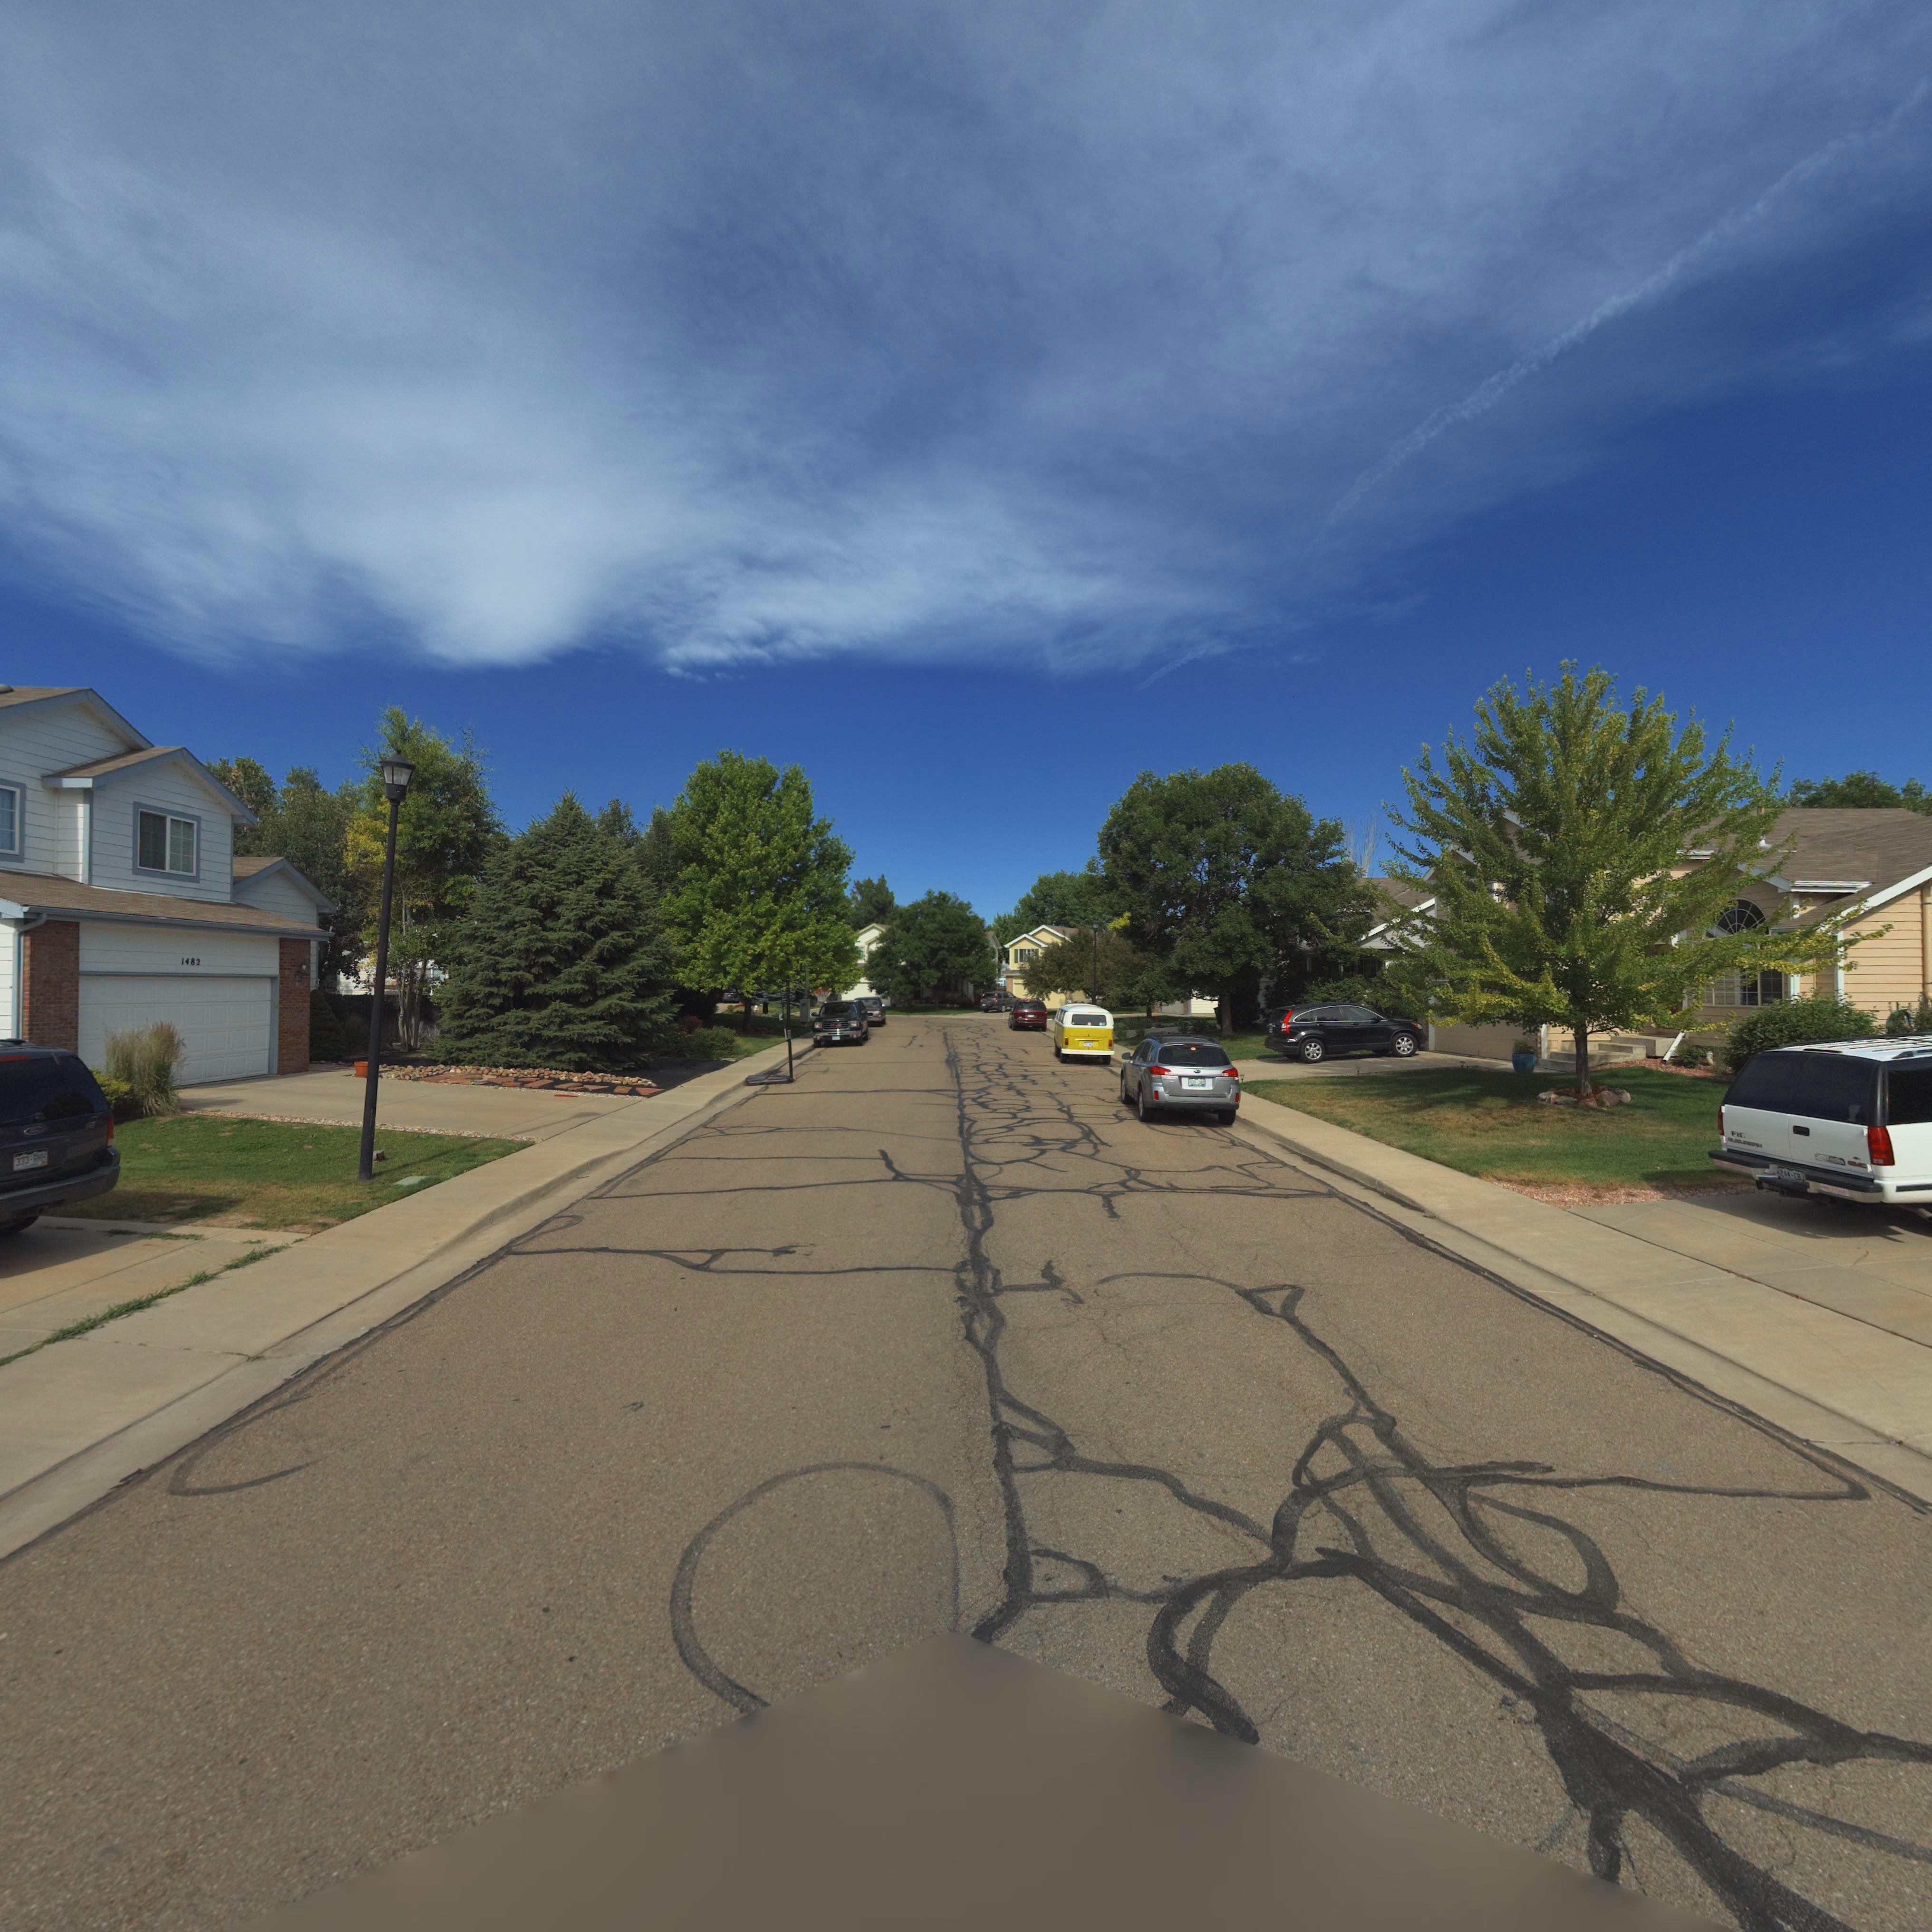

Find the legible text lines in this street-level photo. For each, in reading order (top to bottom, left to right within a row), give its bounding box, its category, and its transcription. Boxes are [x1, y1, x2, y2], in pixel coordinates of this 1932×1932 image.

[181, 957, 201, 966] StreetNumber: 1482